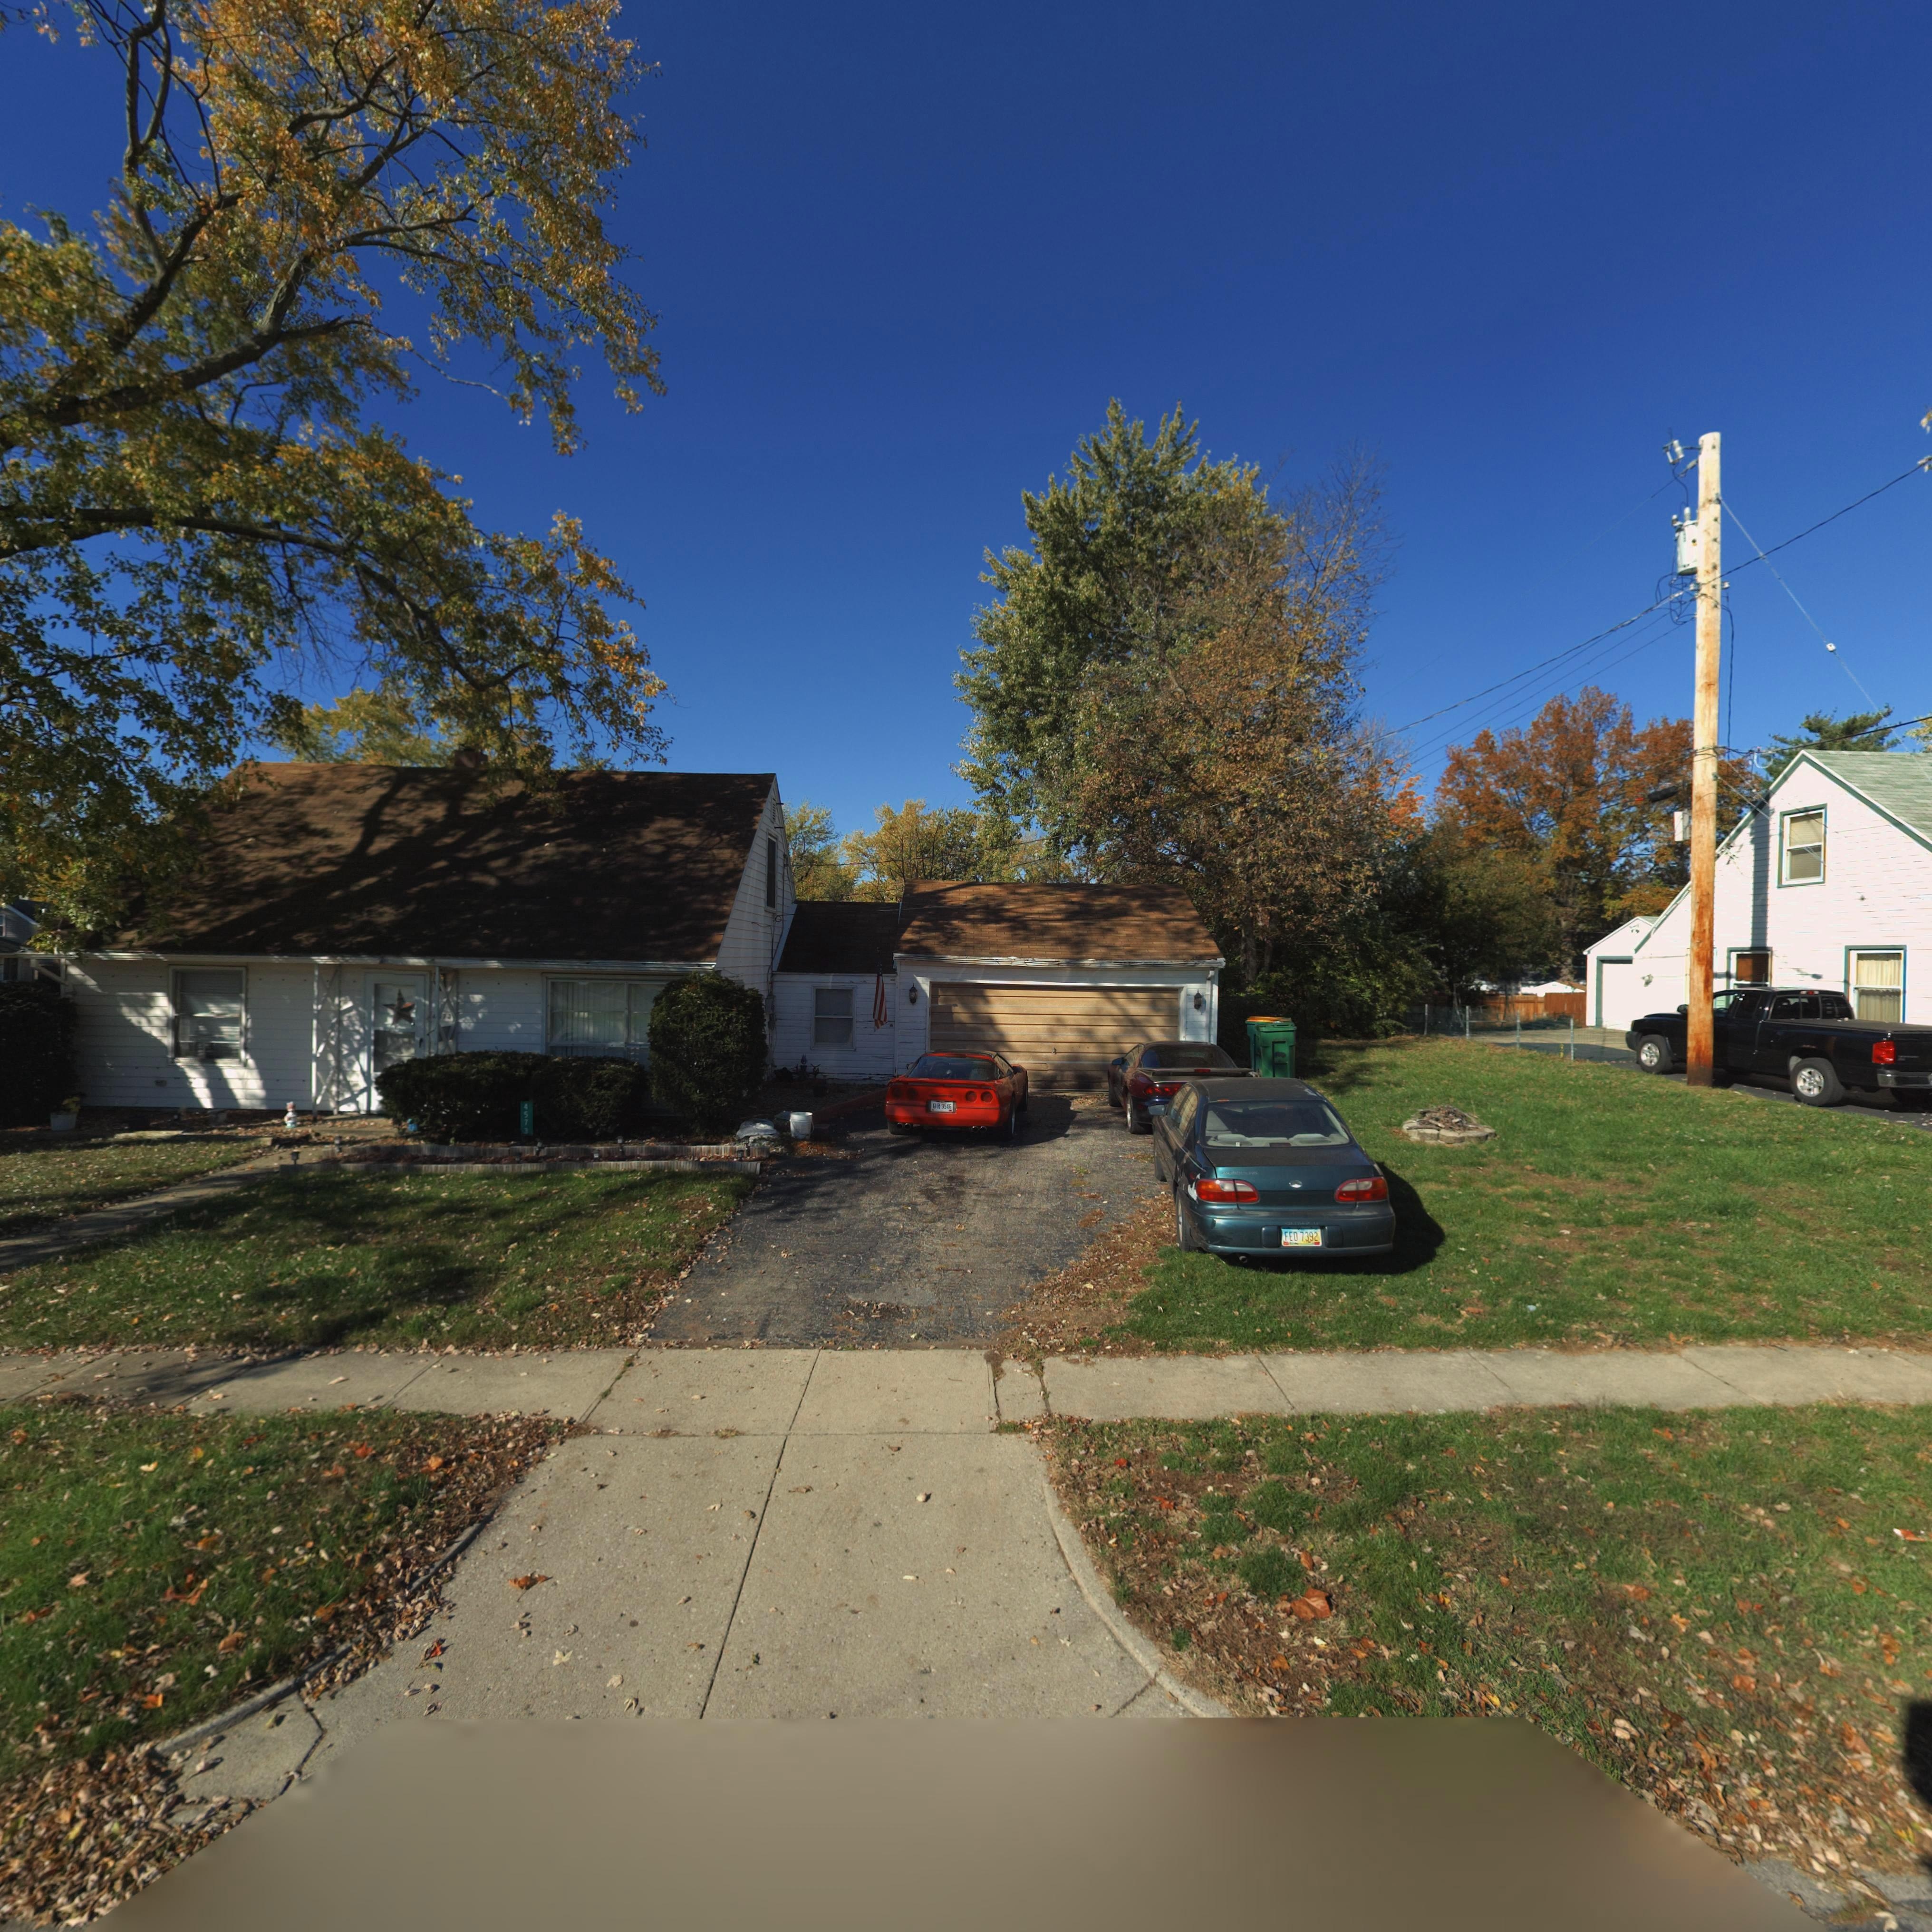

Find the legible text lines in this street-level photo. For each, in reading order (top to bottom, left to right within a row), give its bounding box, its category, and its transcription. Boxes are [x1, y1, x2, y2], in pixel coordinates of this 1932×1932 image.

[431, 1013, 452, 1020] StreetNumber: 4*73
[523, 1103, 529, 1135] StreetNumber: 4573